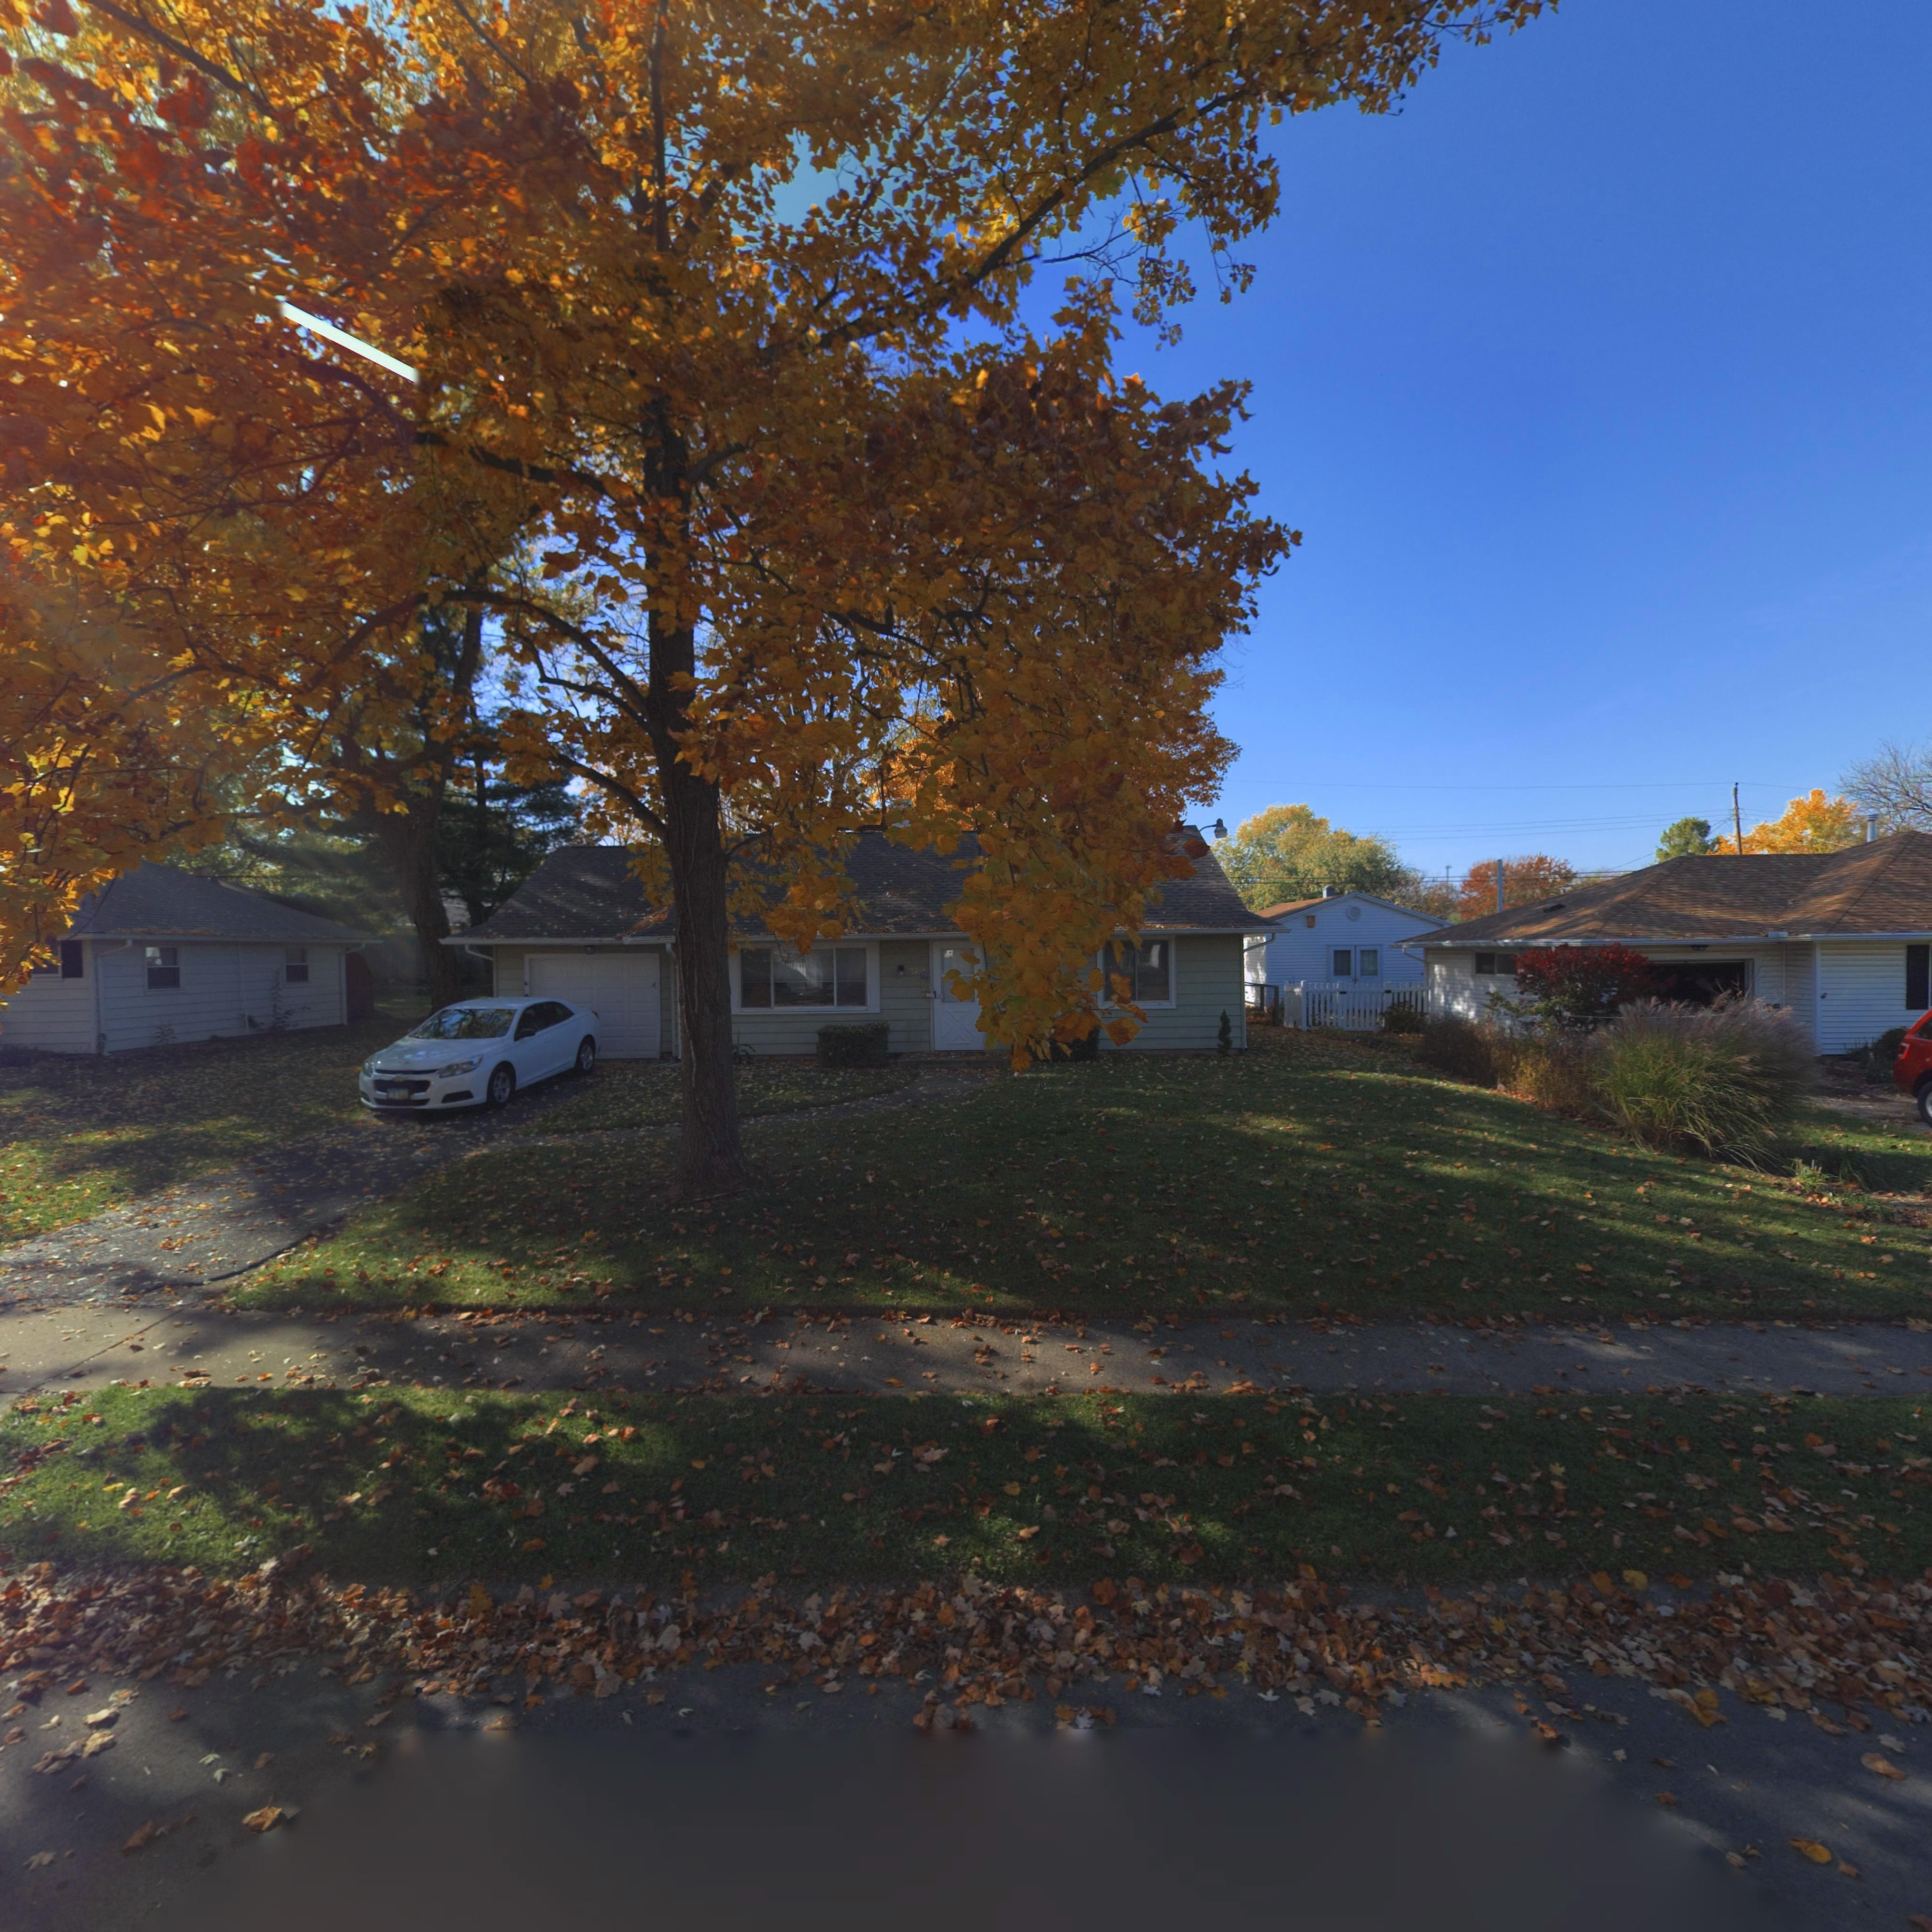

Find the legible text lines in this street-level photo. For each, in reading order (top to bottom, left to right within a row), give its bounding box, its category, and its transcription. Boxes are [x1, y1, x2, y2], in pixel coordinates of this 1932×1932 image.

[910, 967, 925, 975] StreetNumber: 37*7